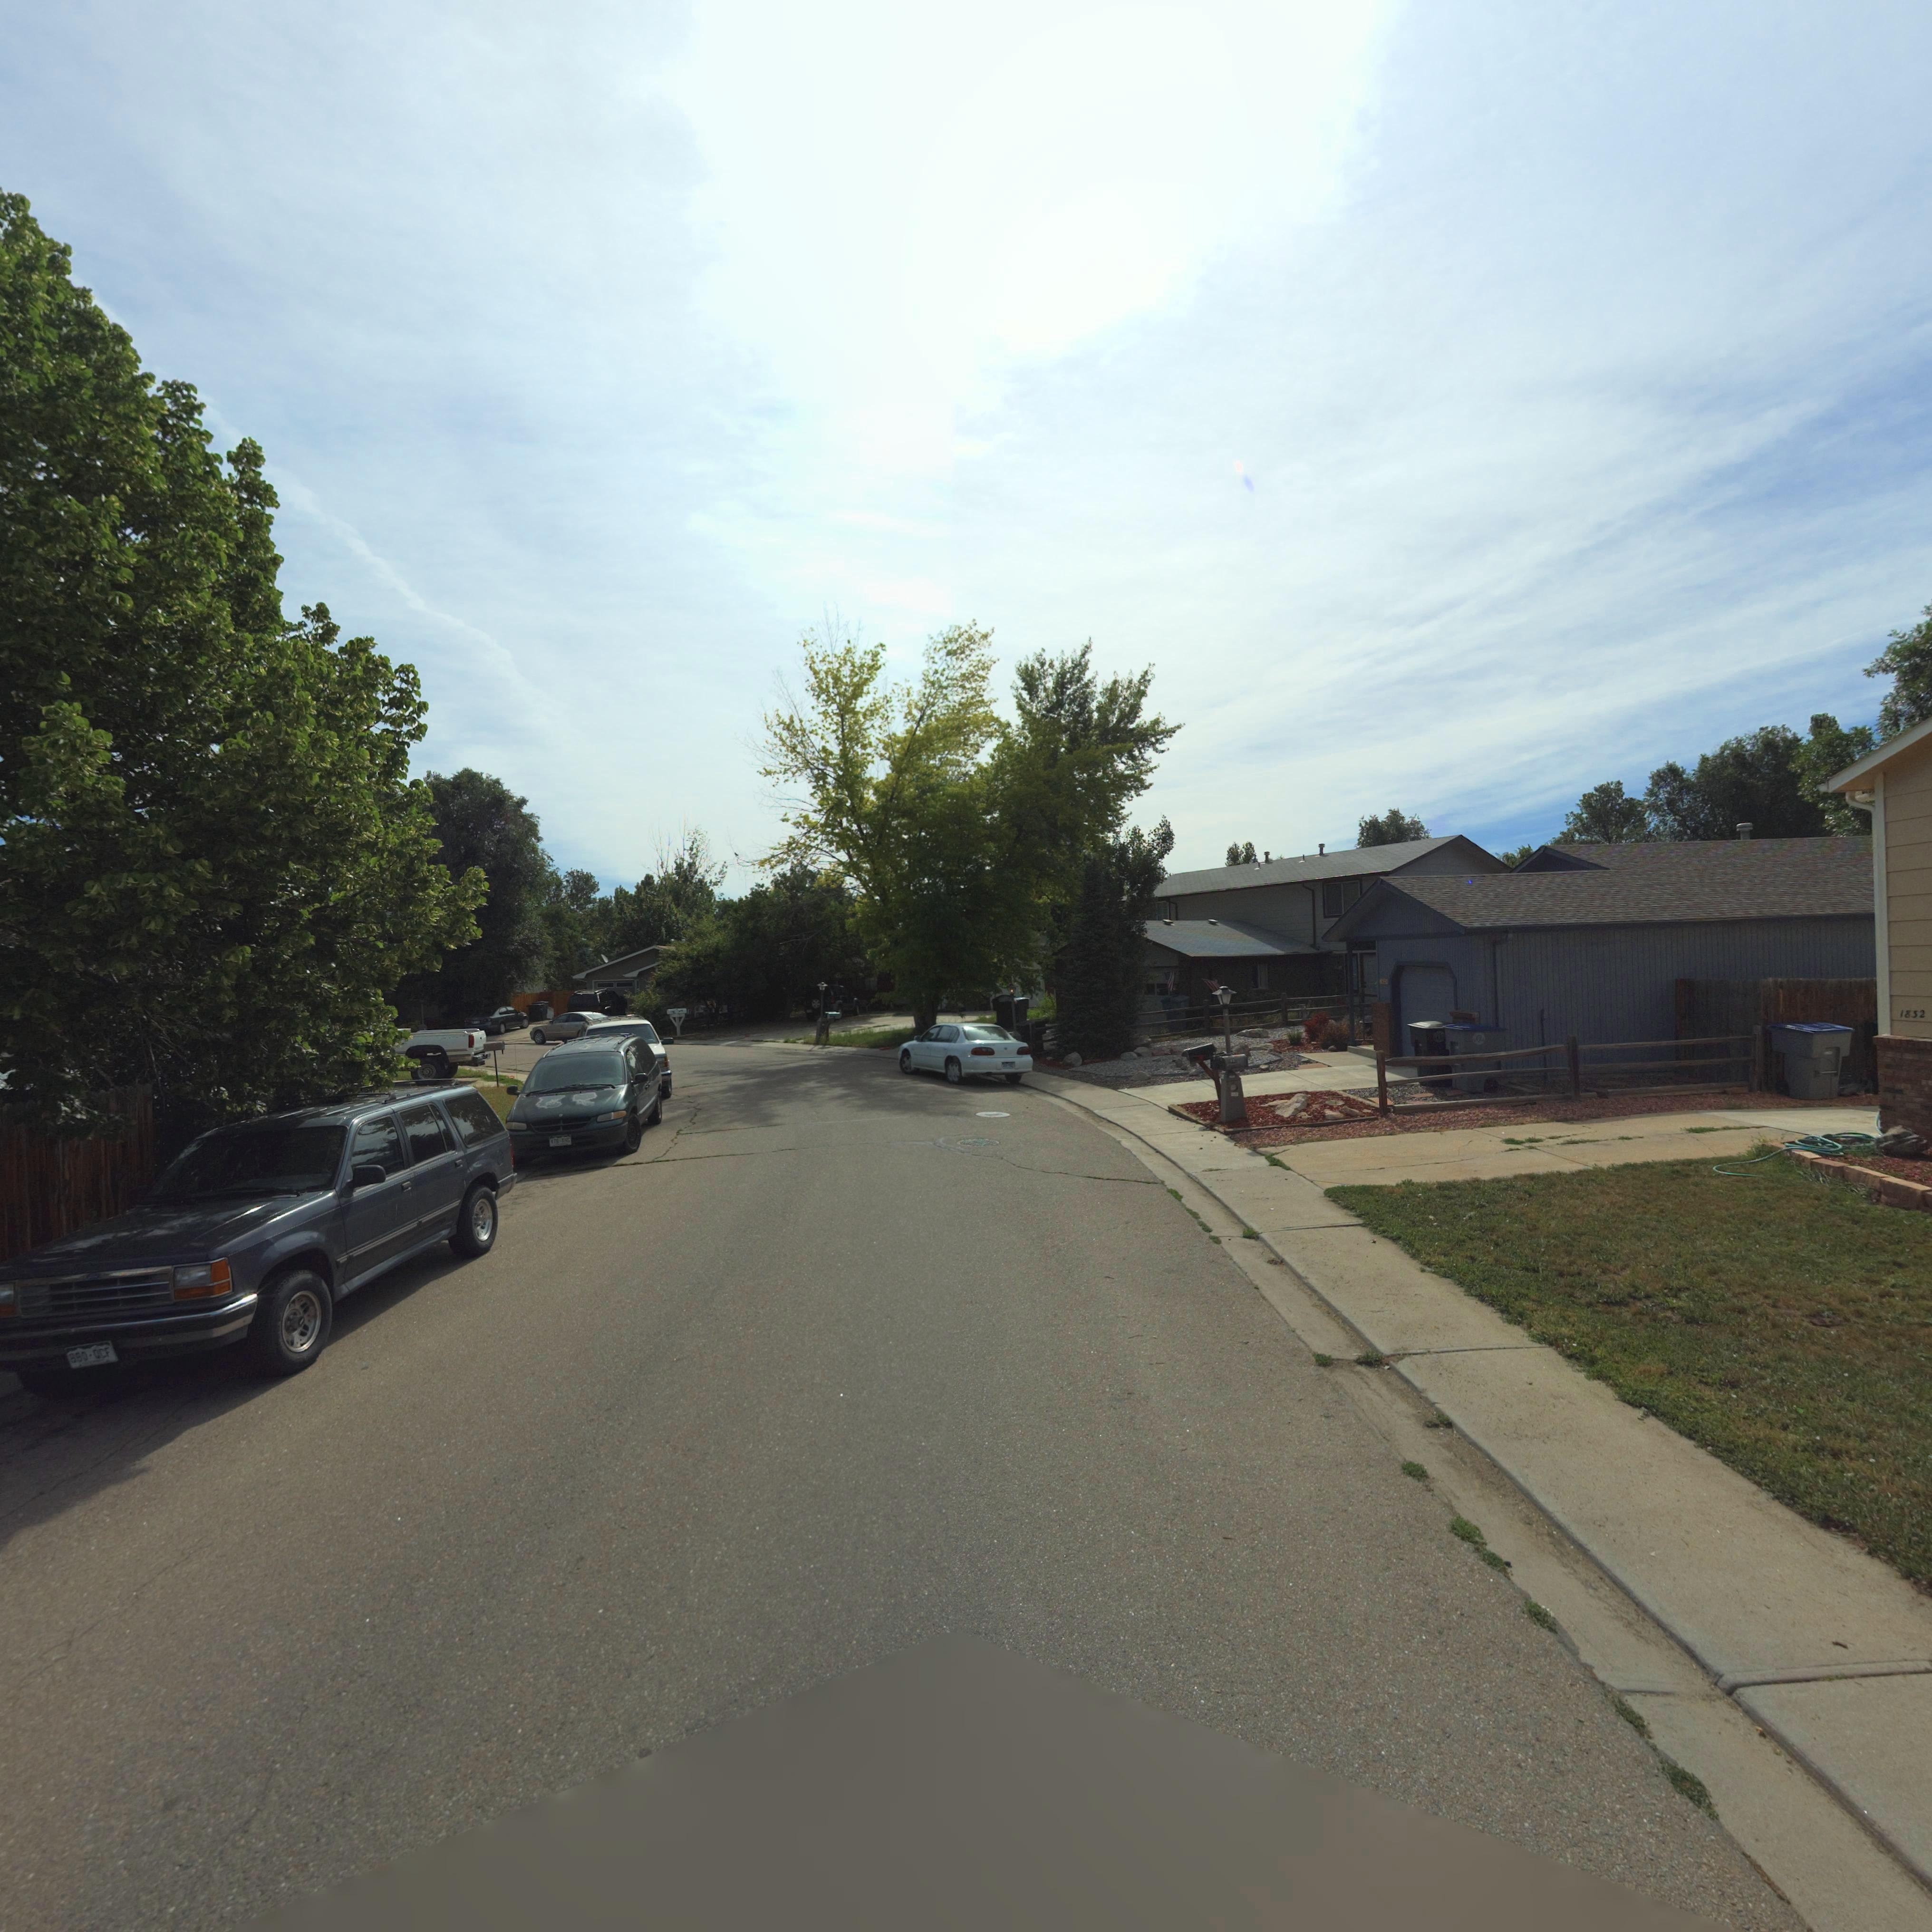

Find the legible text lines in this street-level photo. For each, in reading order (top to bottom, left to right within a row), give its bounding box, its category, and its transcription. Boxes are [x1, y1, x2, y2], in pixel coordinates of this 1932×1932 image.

[1899, 1009, 1925, 1018] StreetNumber: 1832